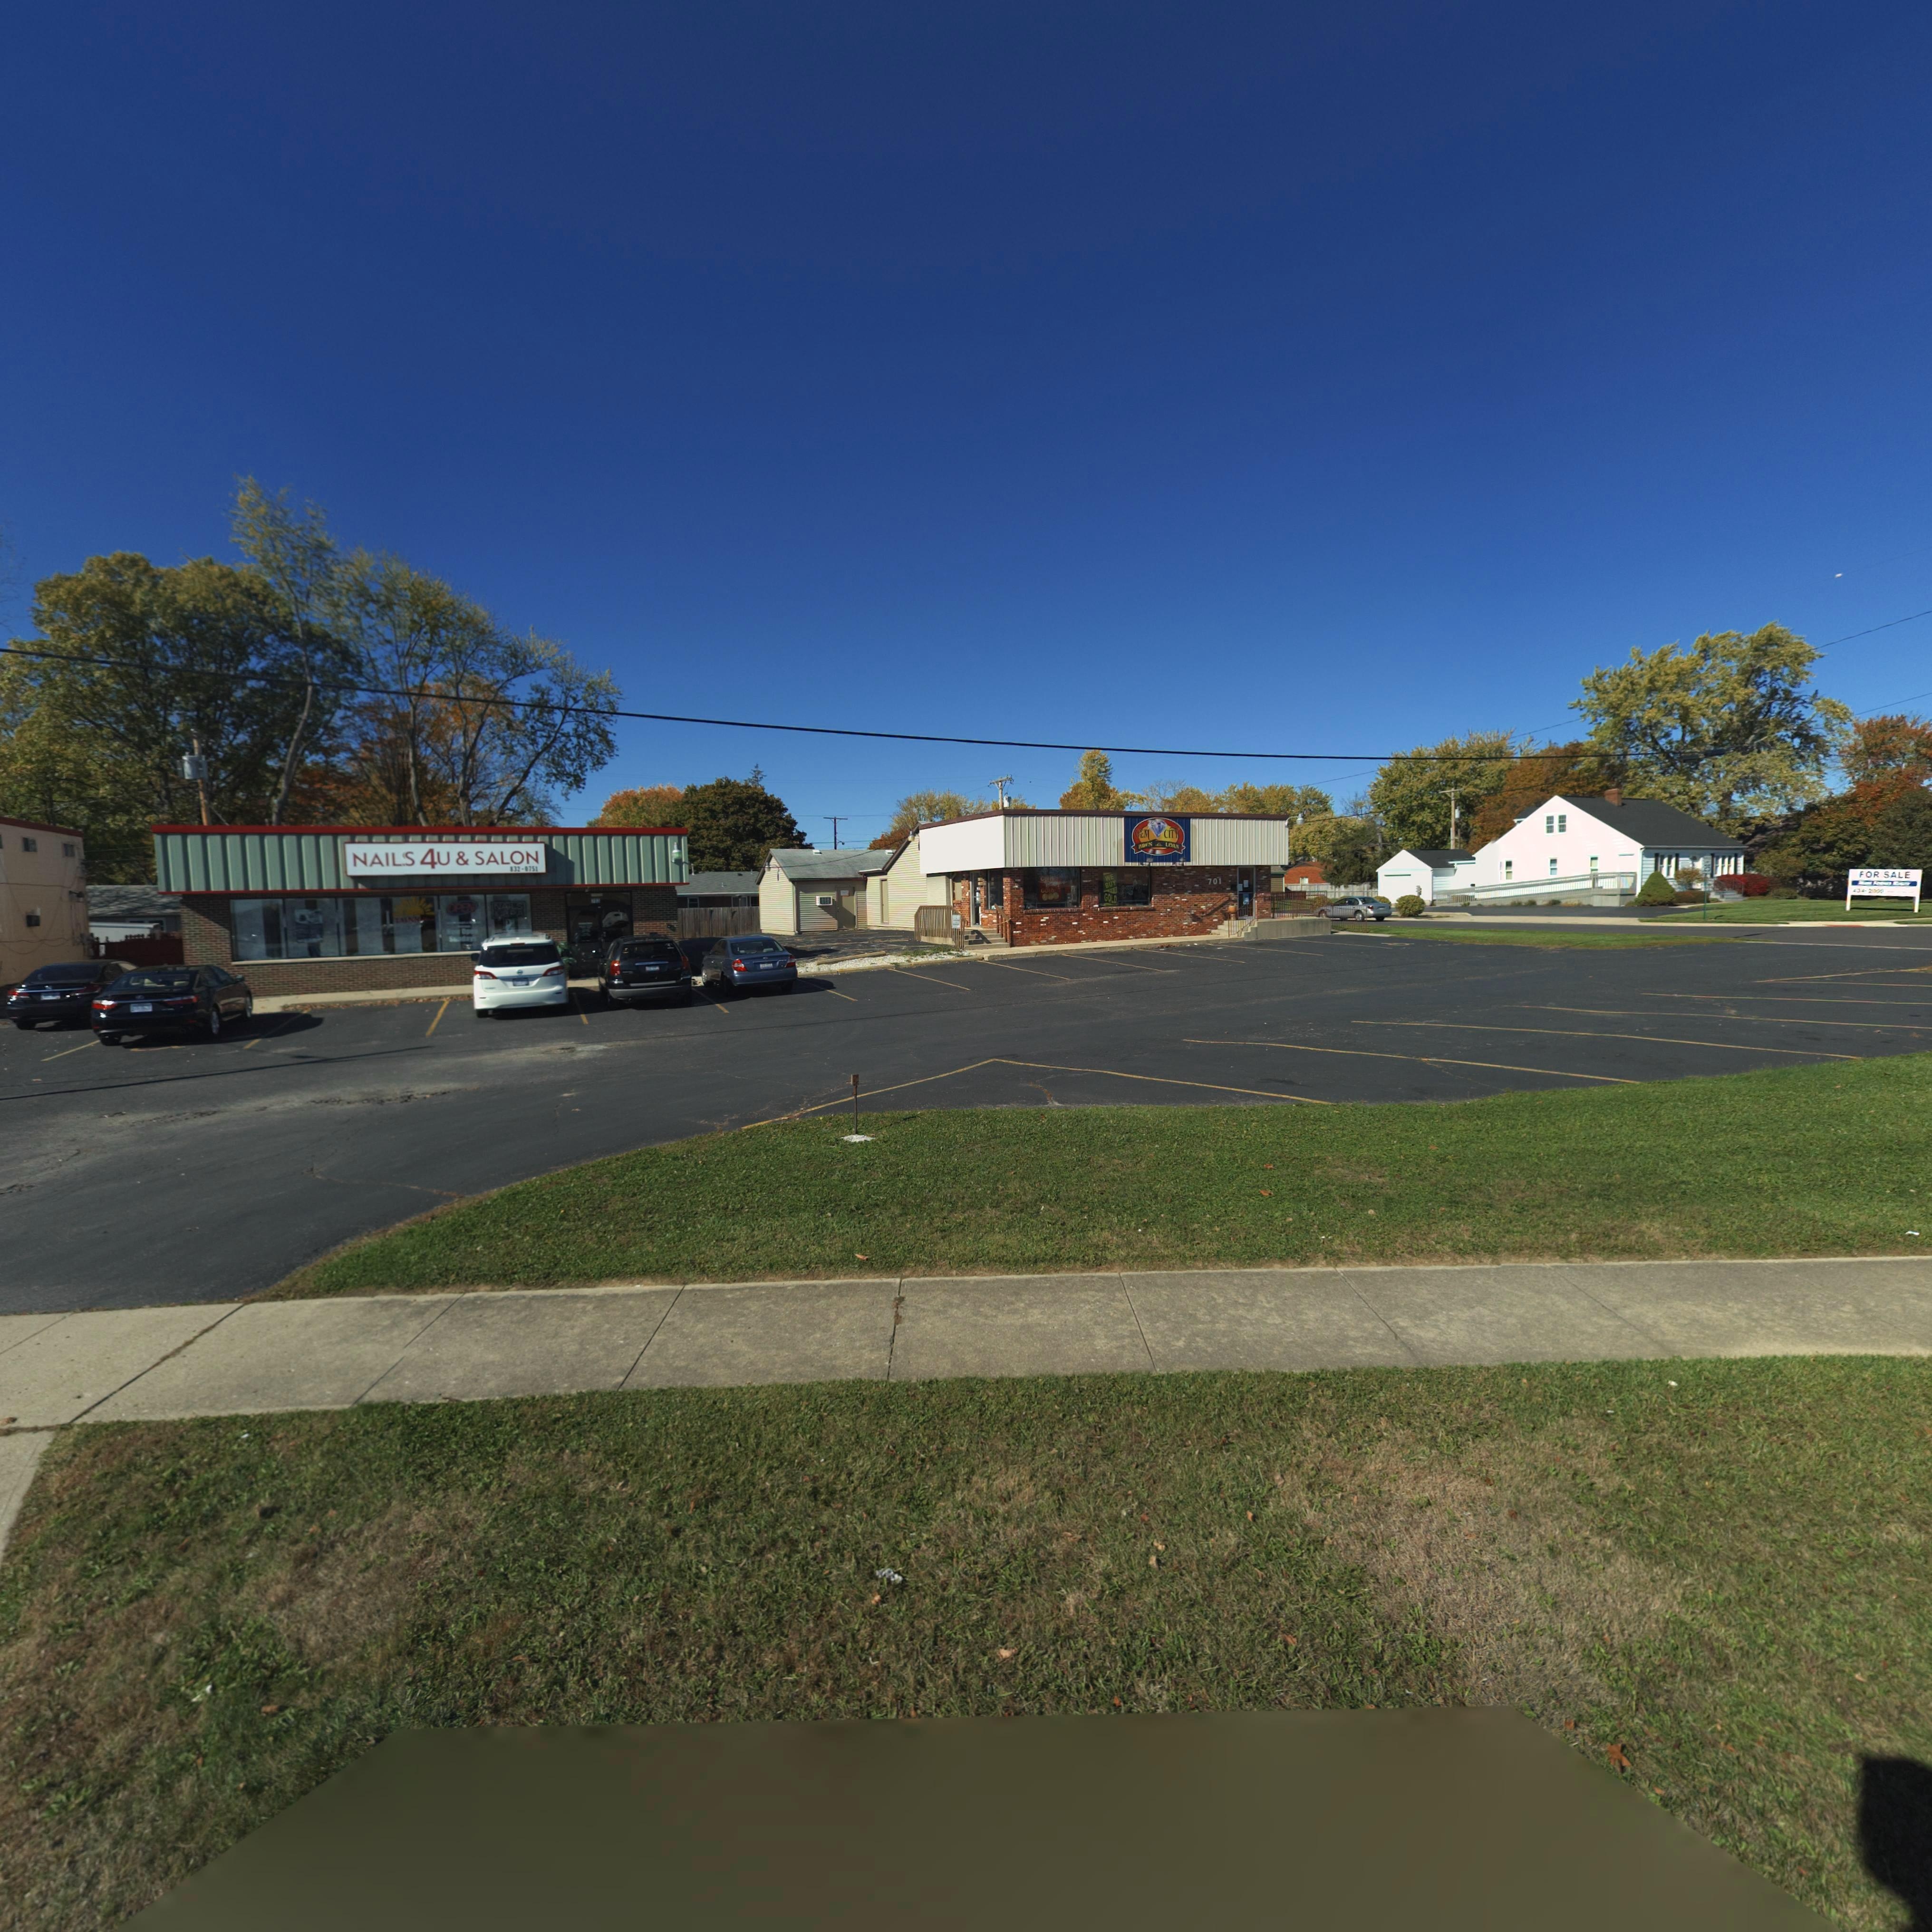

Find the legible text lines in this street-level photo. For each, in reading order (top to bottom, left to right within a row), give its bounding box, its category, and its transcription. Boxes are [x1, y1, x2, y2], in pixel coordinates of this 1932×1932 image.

[1134, 828, 1180, 839] BusinessName: GEM CITY
[1165, 841, 1180, 850] BusinessName: LOAN
[351, 847, 540, 870] BusinessName: NAILS 4U & SALON
[1207, 877, 1222, 885] StreetNumber: 701
[445, 902, 477, 914] None: OPEN